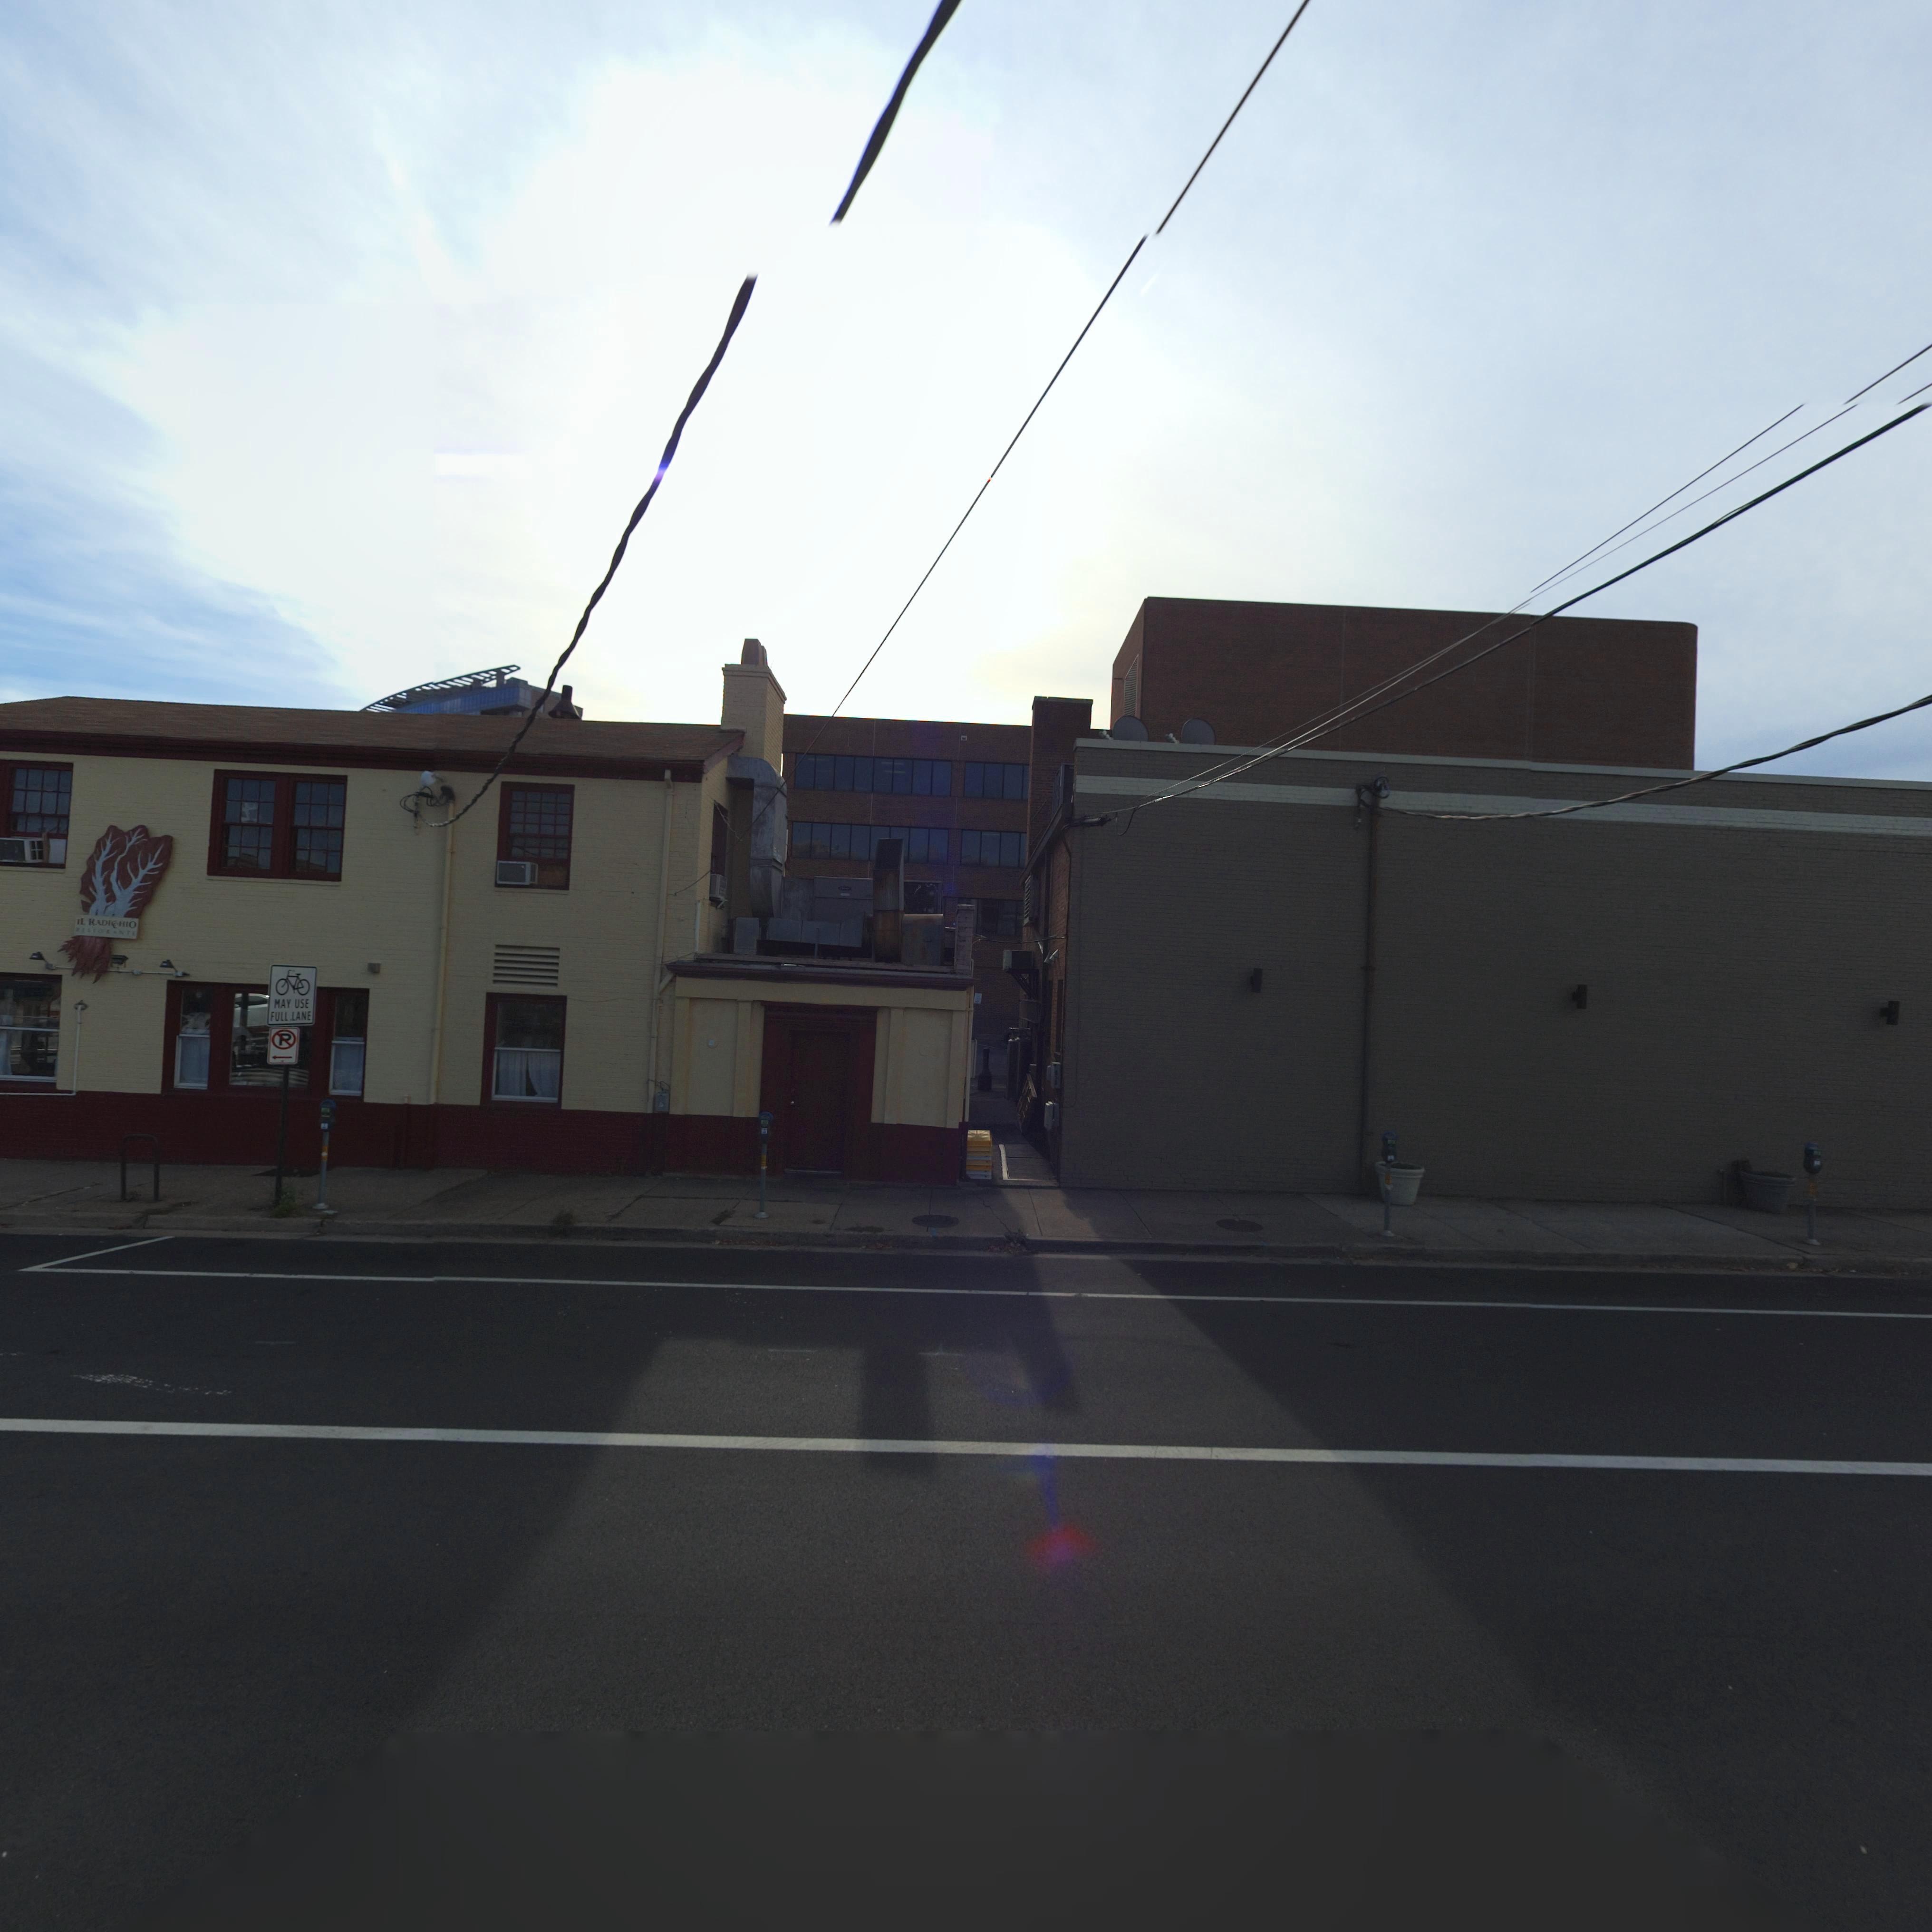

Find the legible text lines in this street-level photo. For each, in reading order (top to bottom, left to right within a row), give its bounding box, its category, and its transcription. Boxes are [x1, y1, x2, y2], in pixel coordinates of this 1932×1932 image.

[77, 917, 137, 930] BusinessName: IL RADI*HIO
[75, 927, 135, 937] BusinessName: RISTORANTI
[273, 998, 309, 1009] None: MAY USE
[270, 1011, 311, 1022] None: FULL LANE